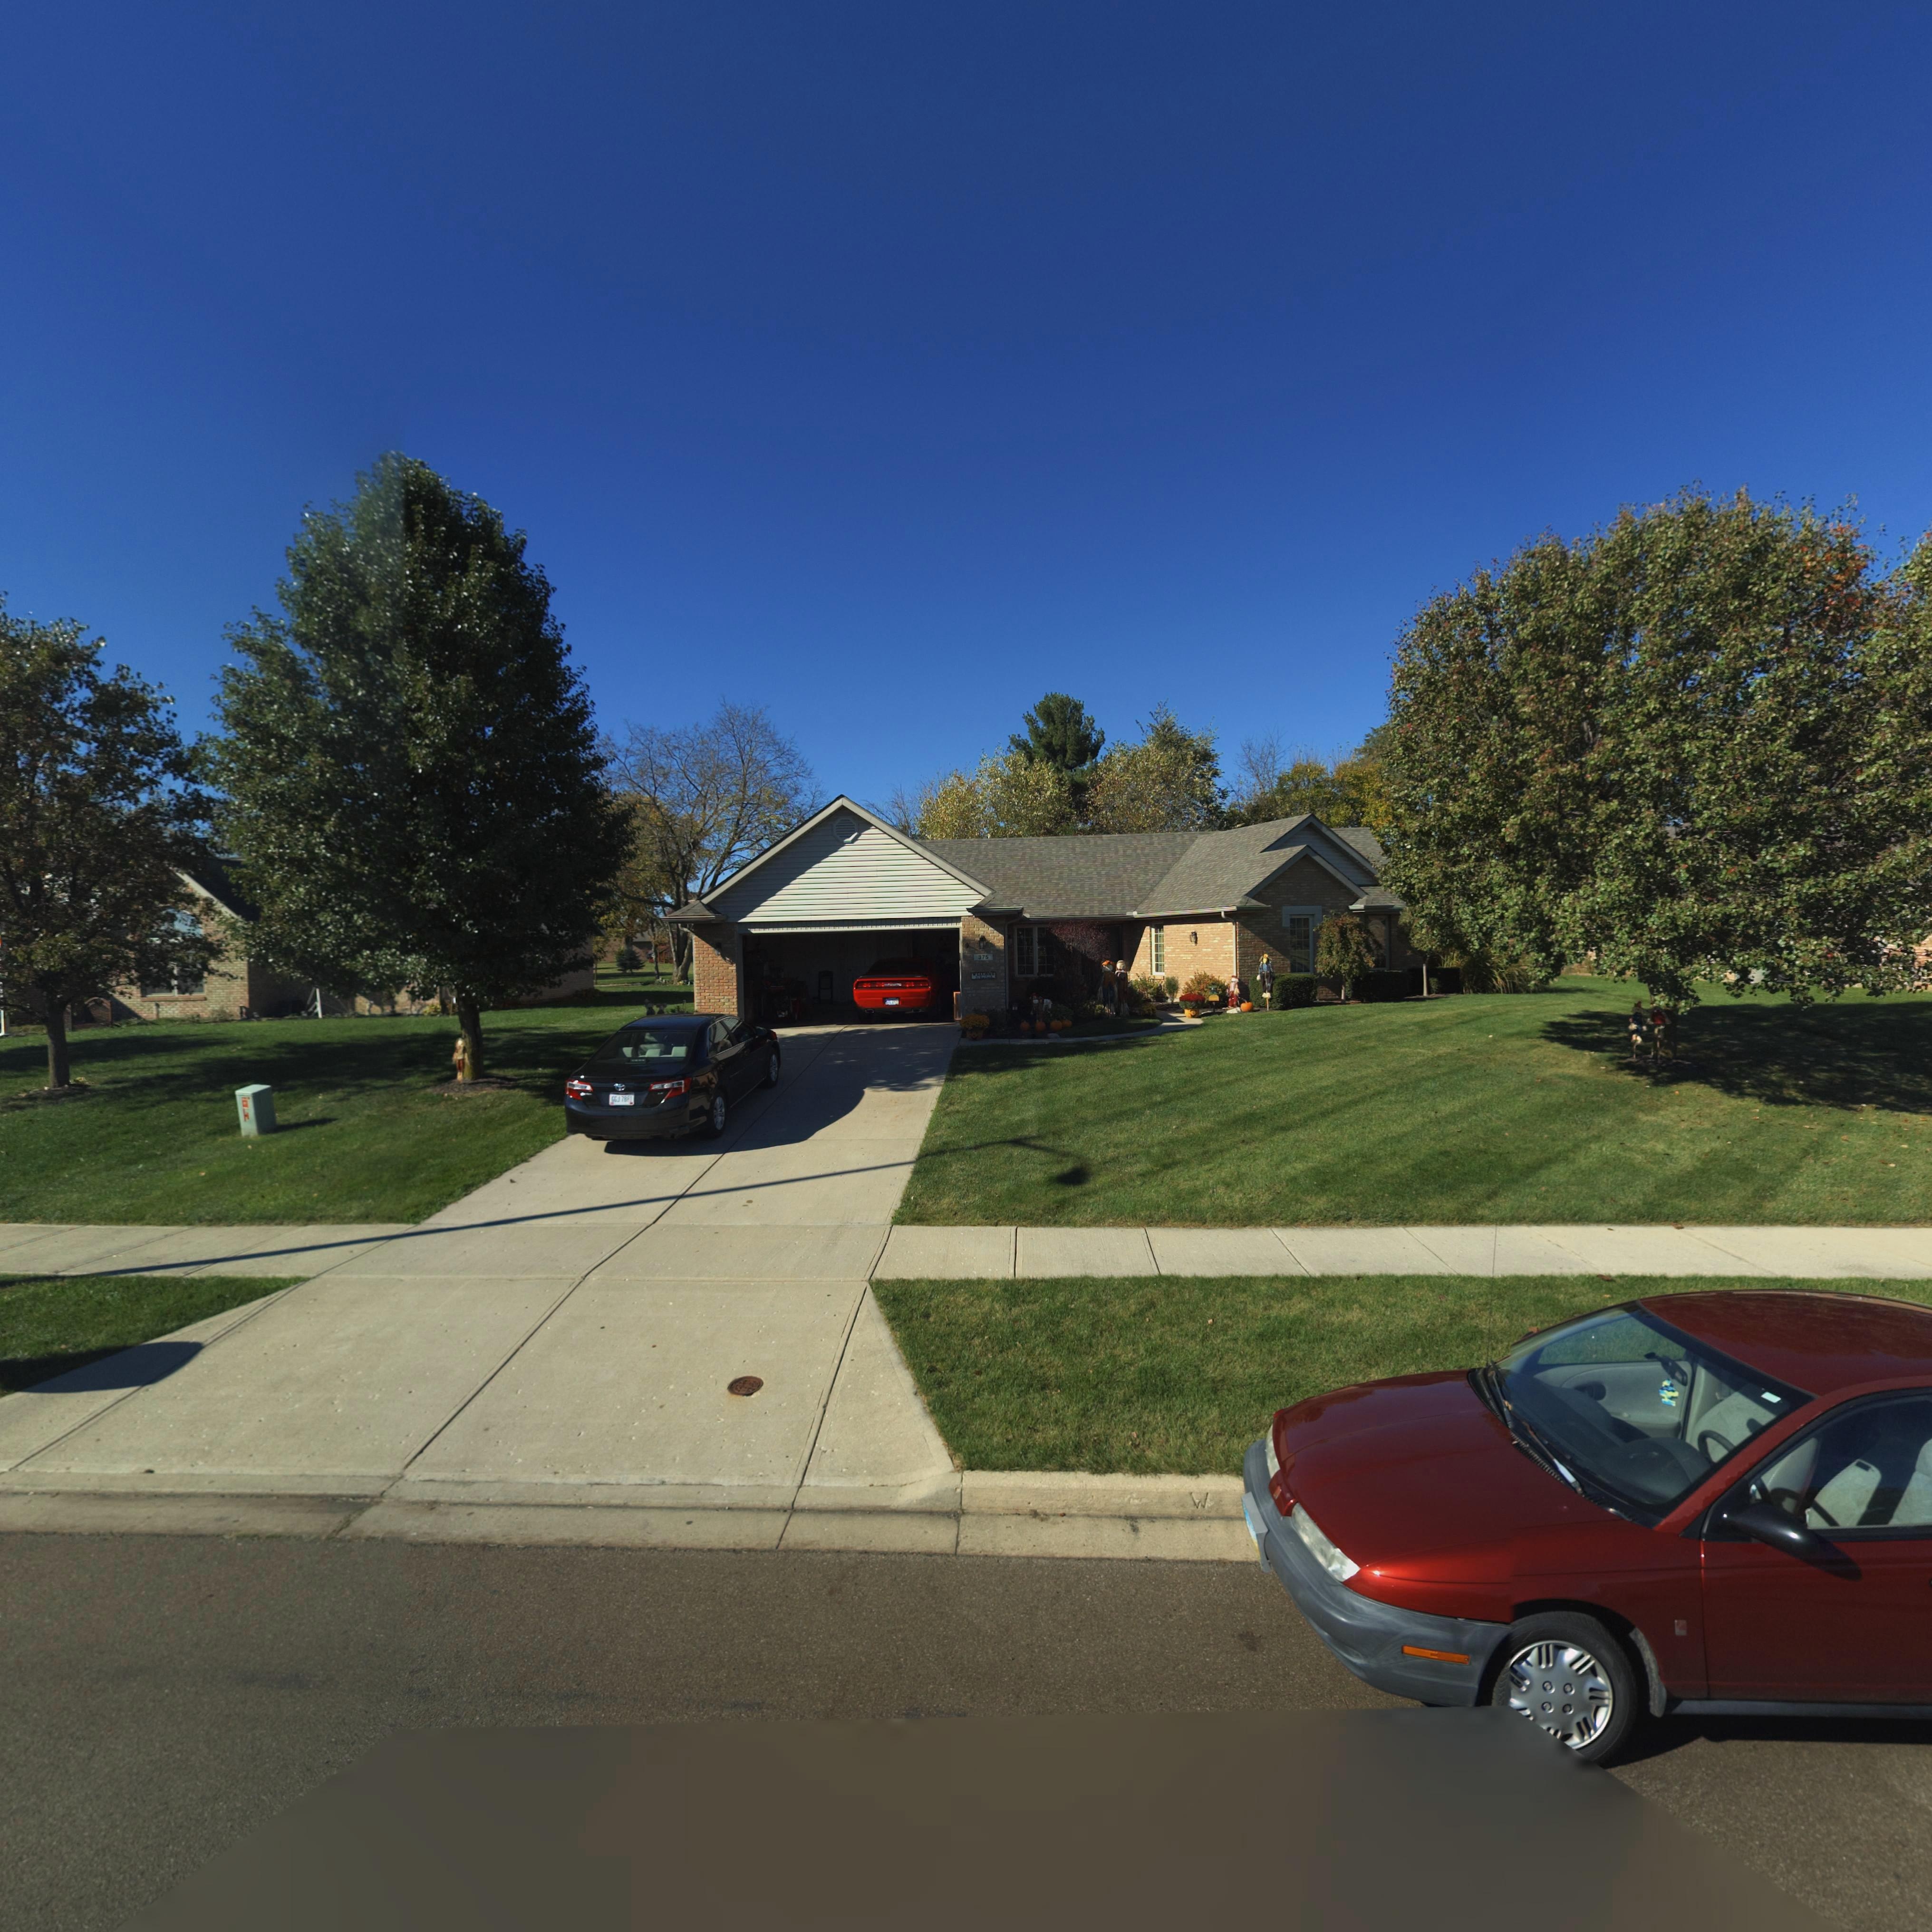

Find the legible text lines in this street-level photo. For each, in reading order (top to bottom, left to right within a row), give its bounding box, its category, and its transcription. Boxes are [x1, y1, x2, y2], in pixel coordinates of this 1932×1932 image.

[978, 955, 989, 960] StreetNumber: 375